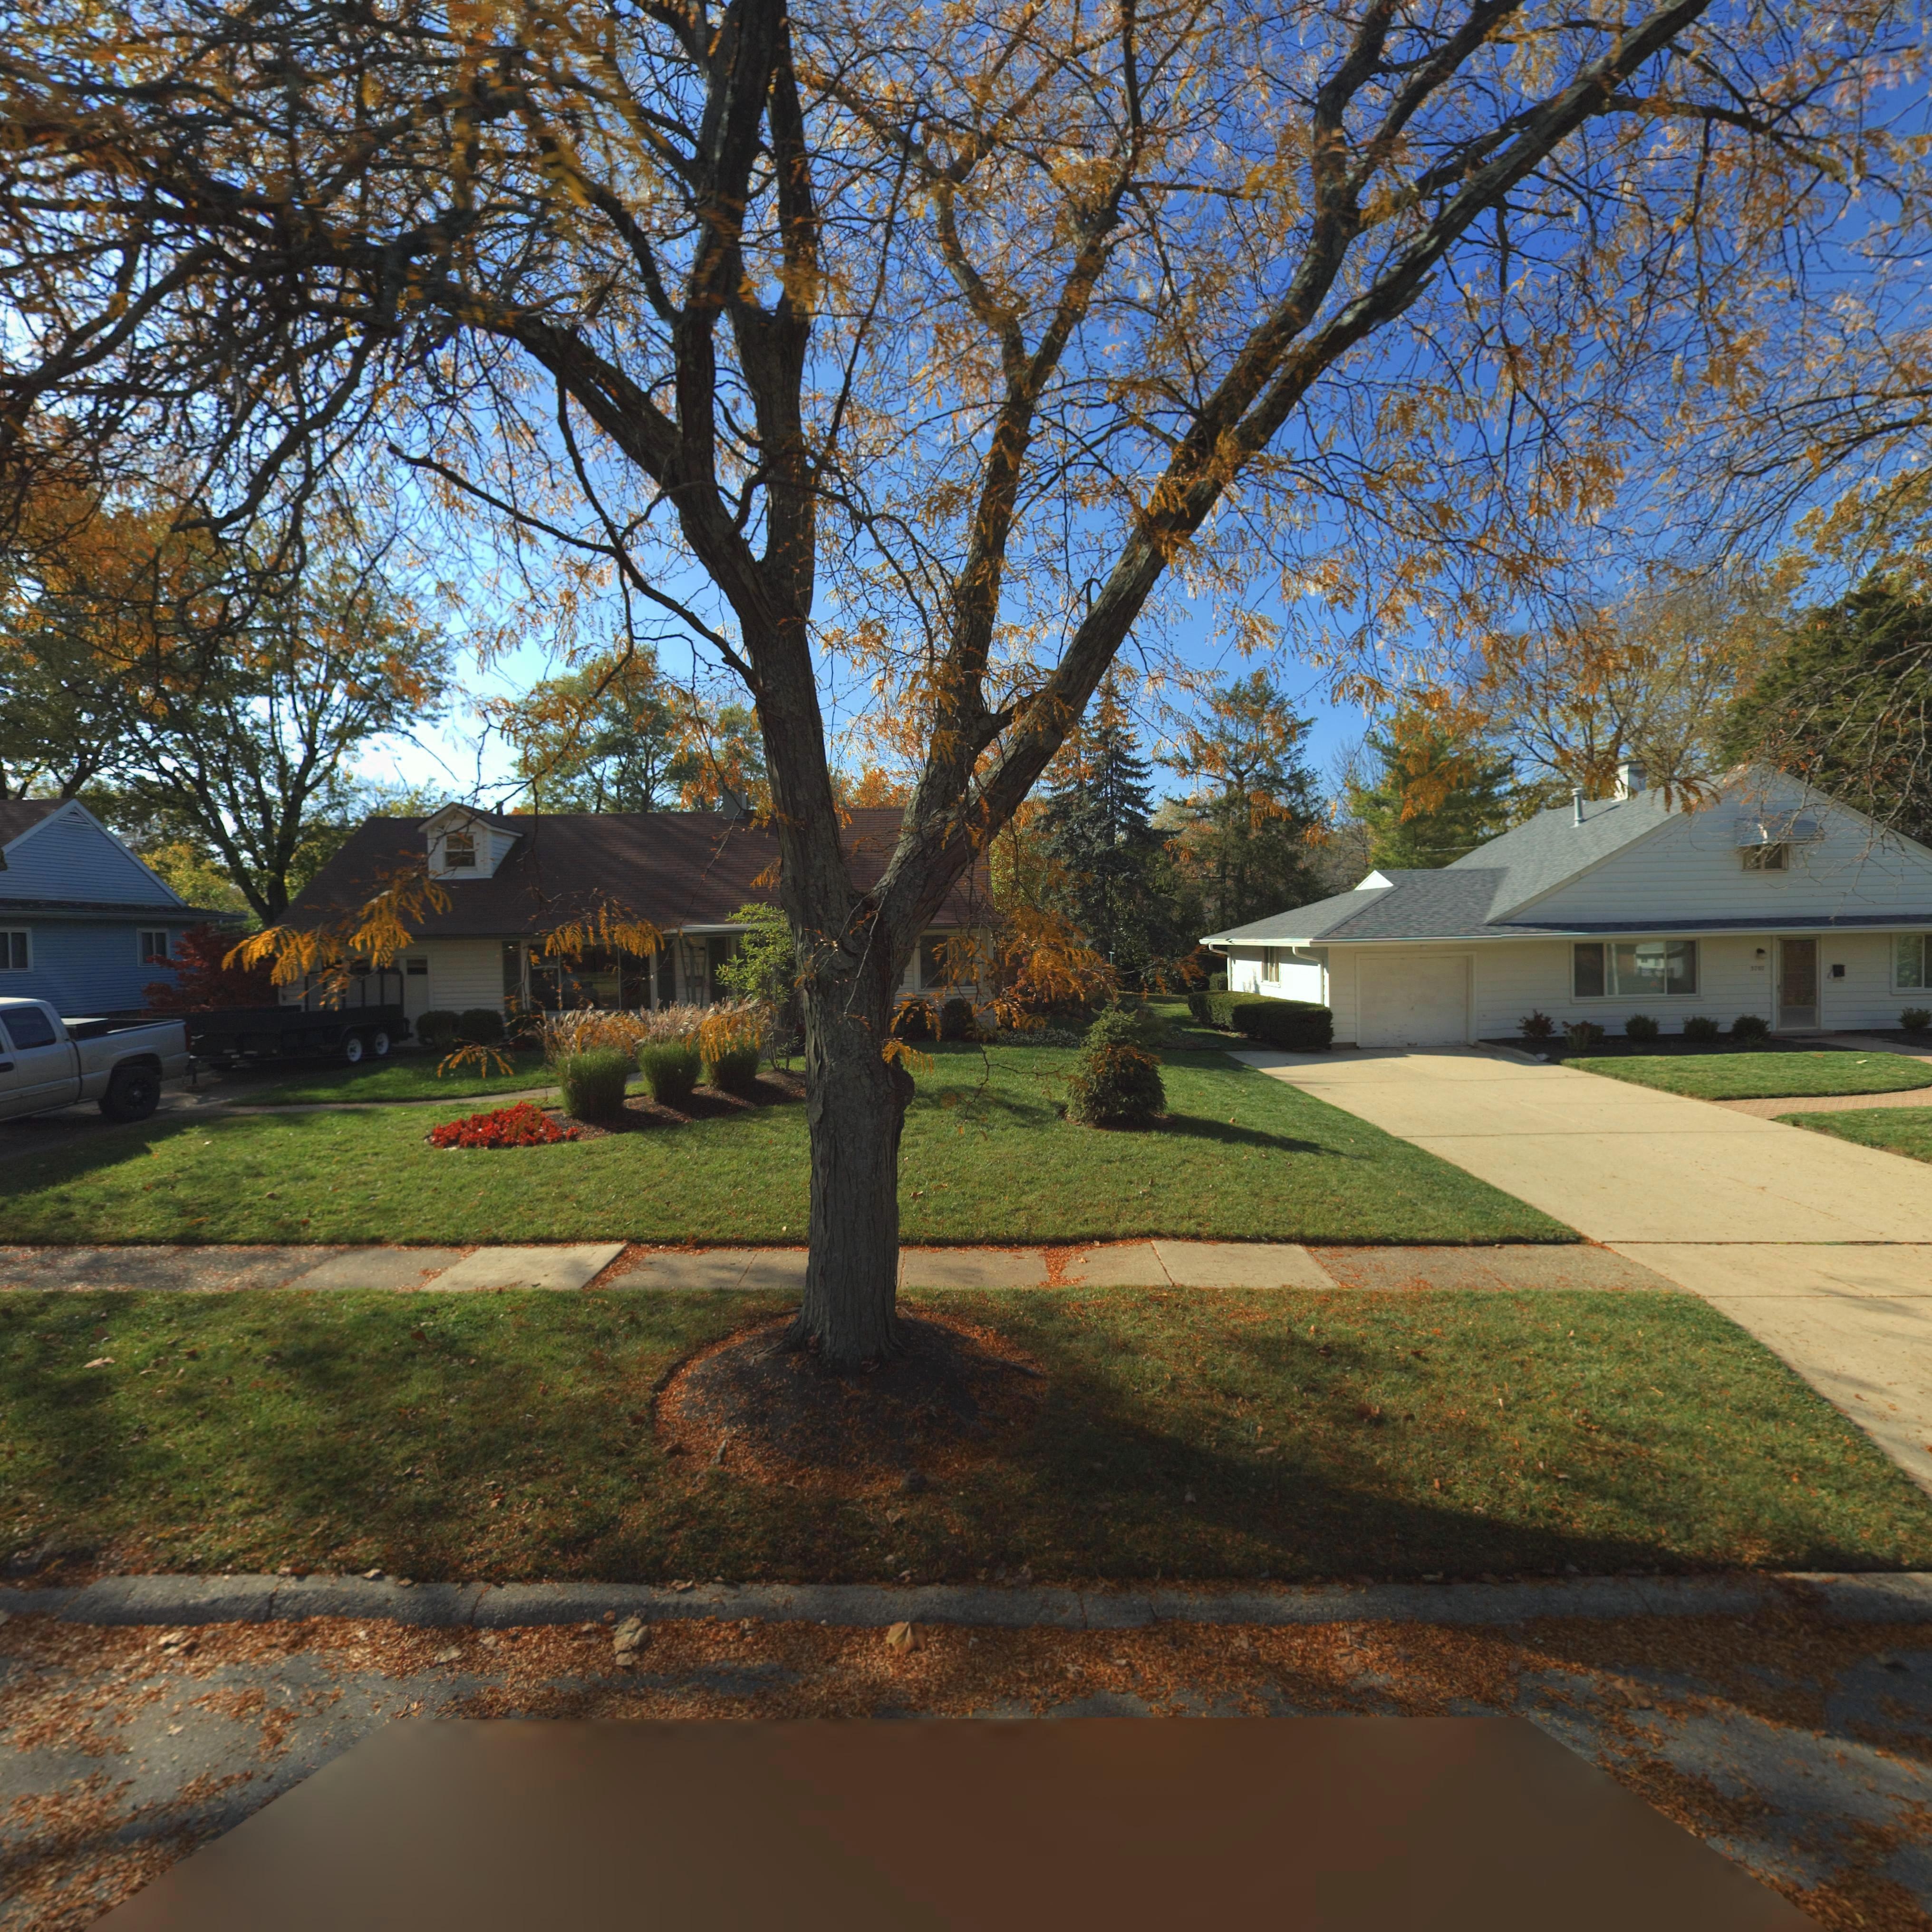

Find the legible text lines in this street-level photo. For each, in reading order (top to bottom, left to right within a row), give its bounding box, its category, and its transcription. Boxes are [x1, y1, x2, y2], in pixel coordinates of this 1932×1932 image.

[683, 961, 705, 969] StreetNumber: 3***
[1750, 966, 1765, 971] StreetNumber: 3707